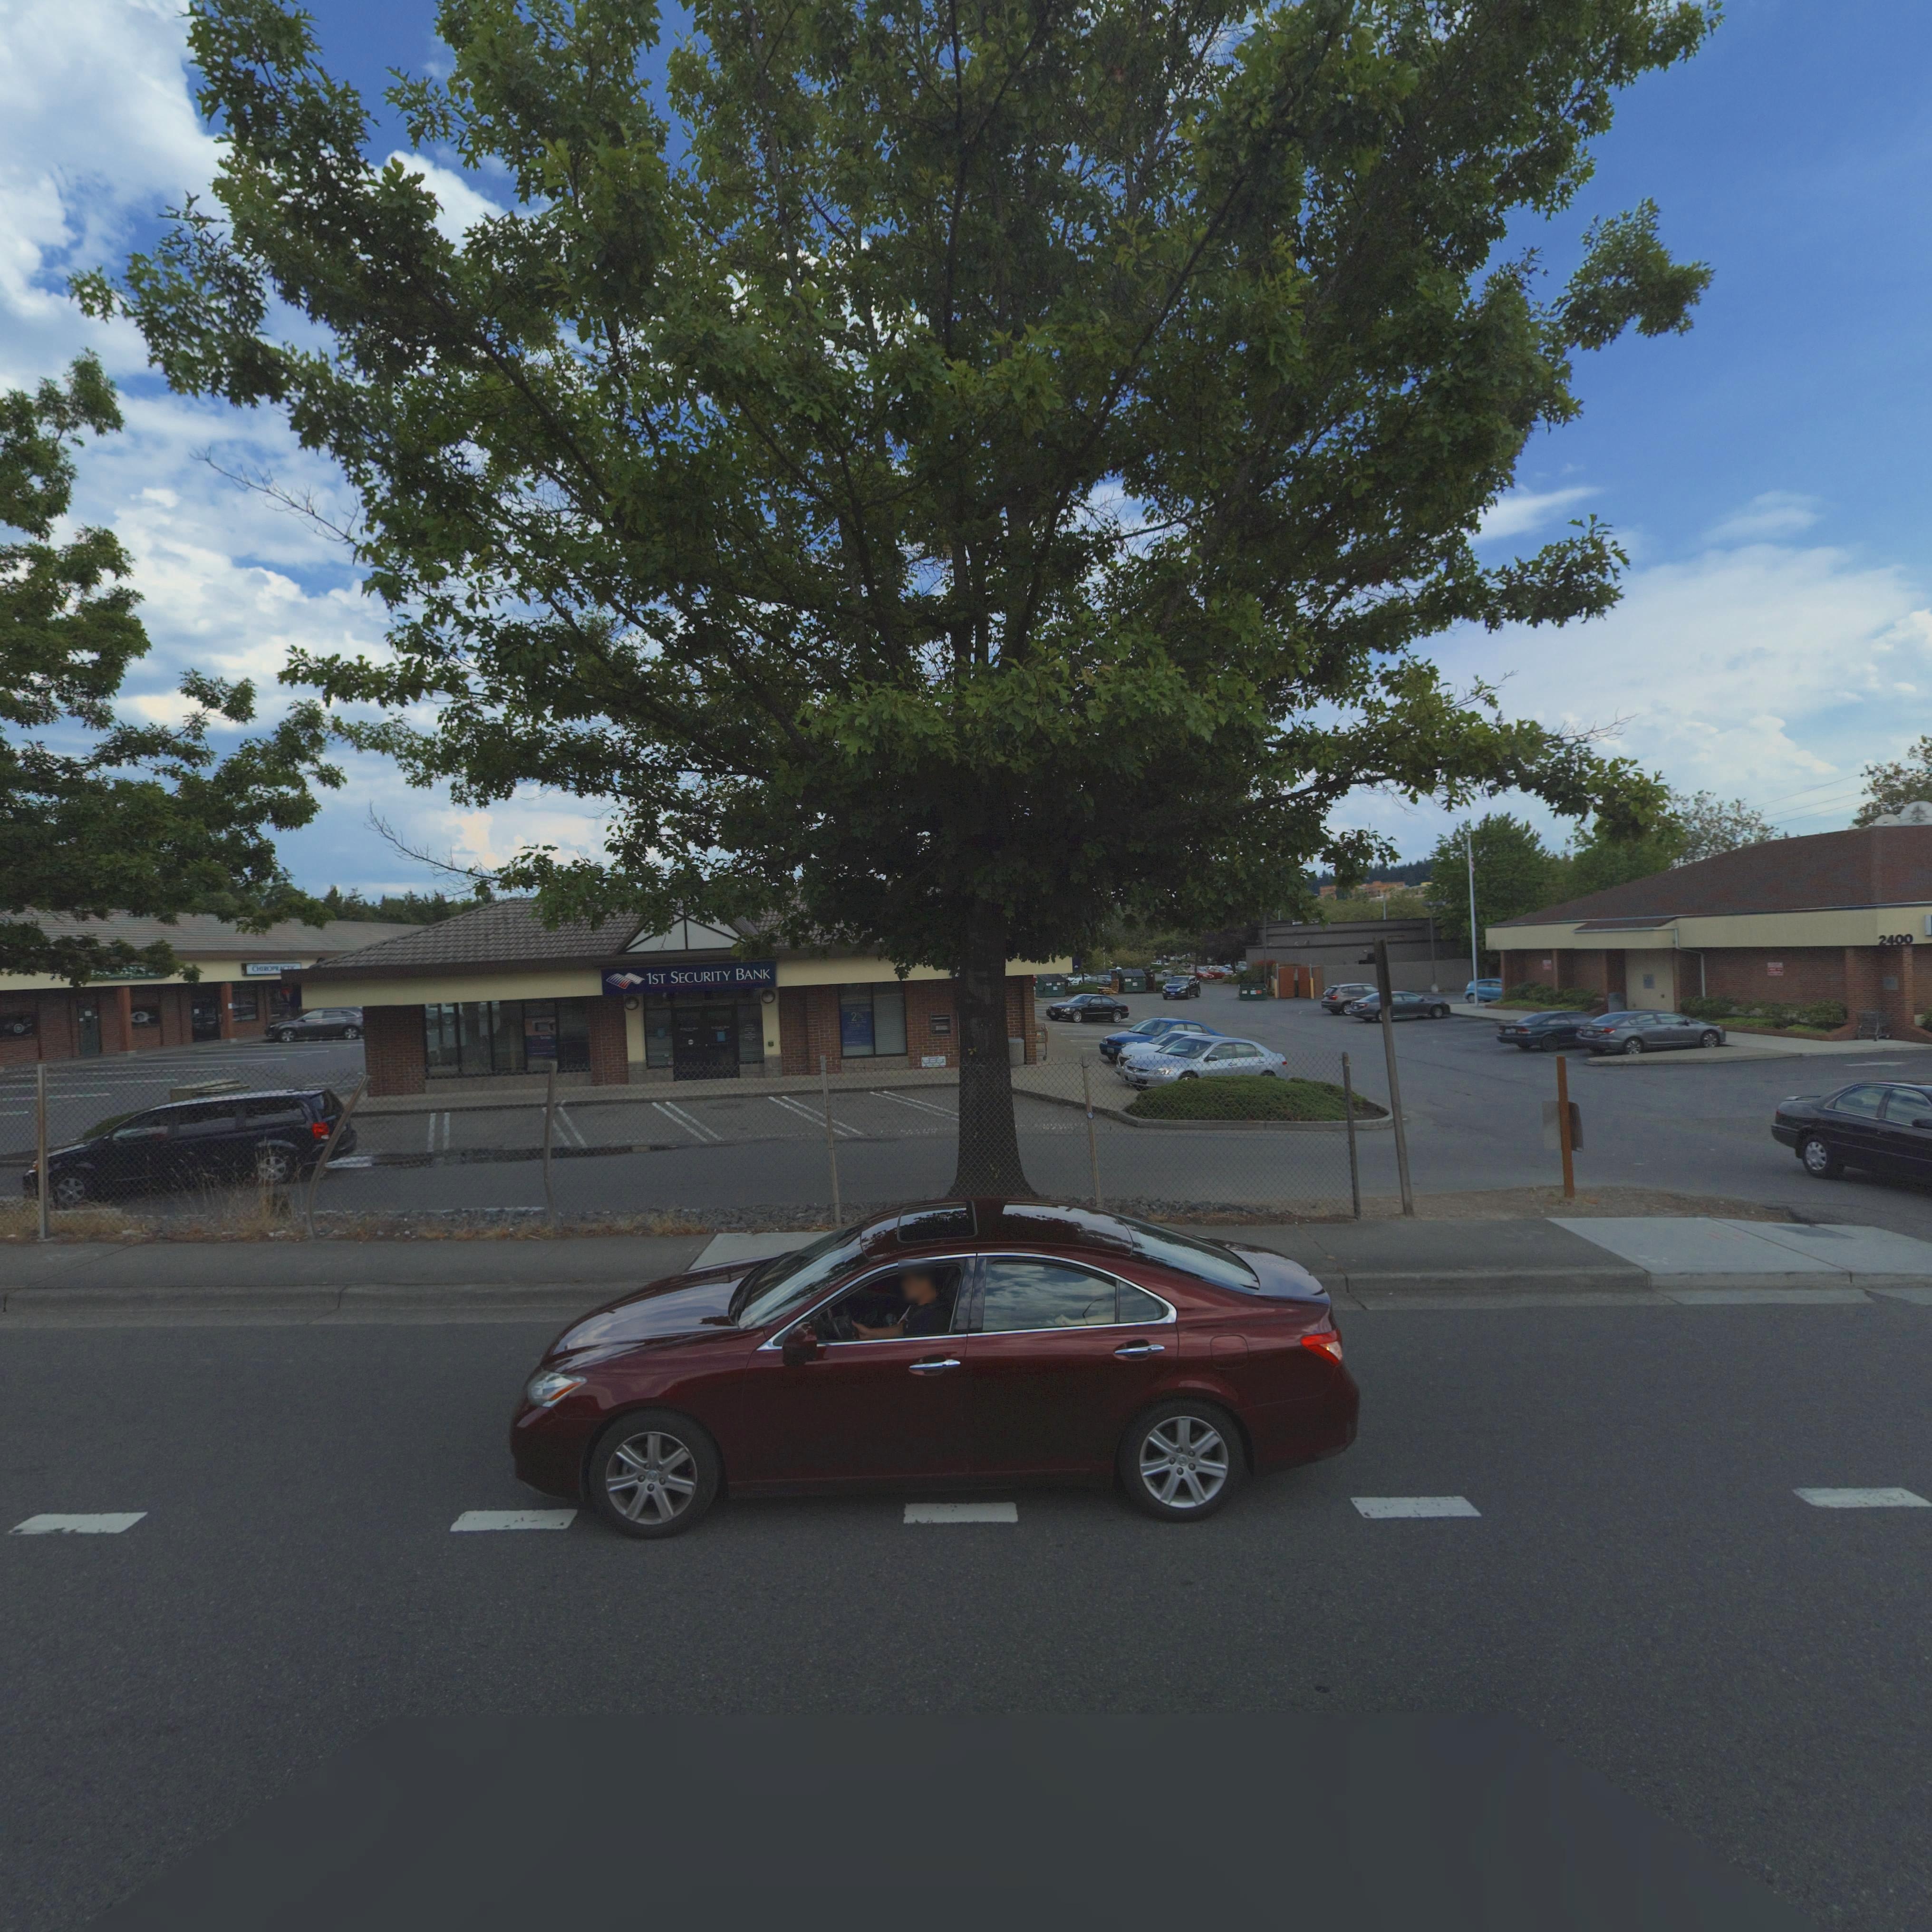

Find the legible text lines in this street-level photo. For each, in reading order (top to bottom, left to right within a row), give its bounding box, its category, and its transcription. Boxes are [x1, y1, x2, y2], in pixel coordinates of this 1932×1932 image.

[1877, 932, 1914, 946] StreetNumber: 2400
[251, 965, 280, 972] BusinessName: CHIROPR
[645, 967, 771, 985] BusinessName: 1St SECURITY BANK